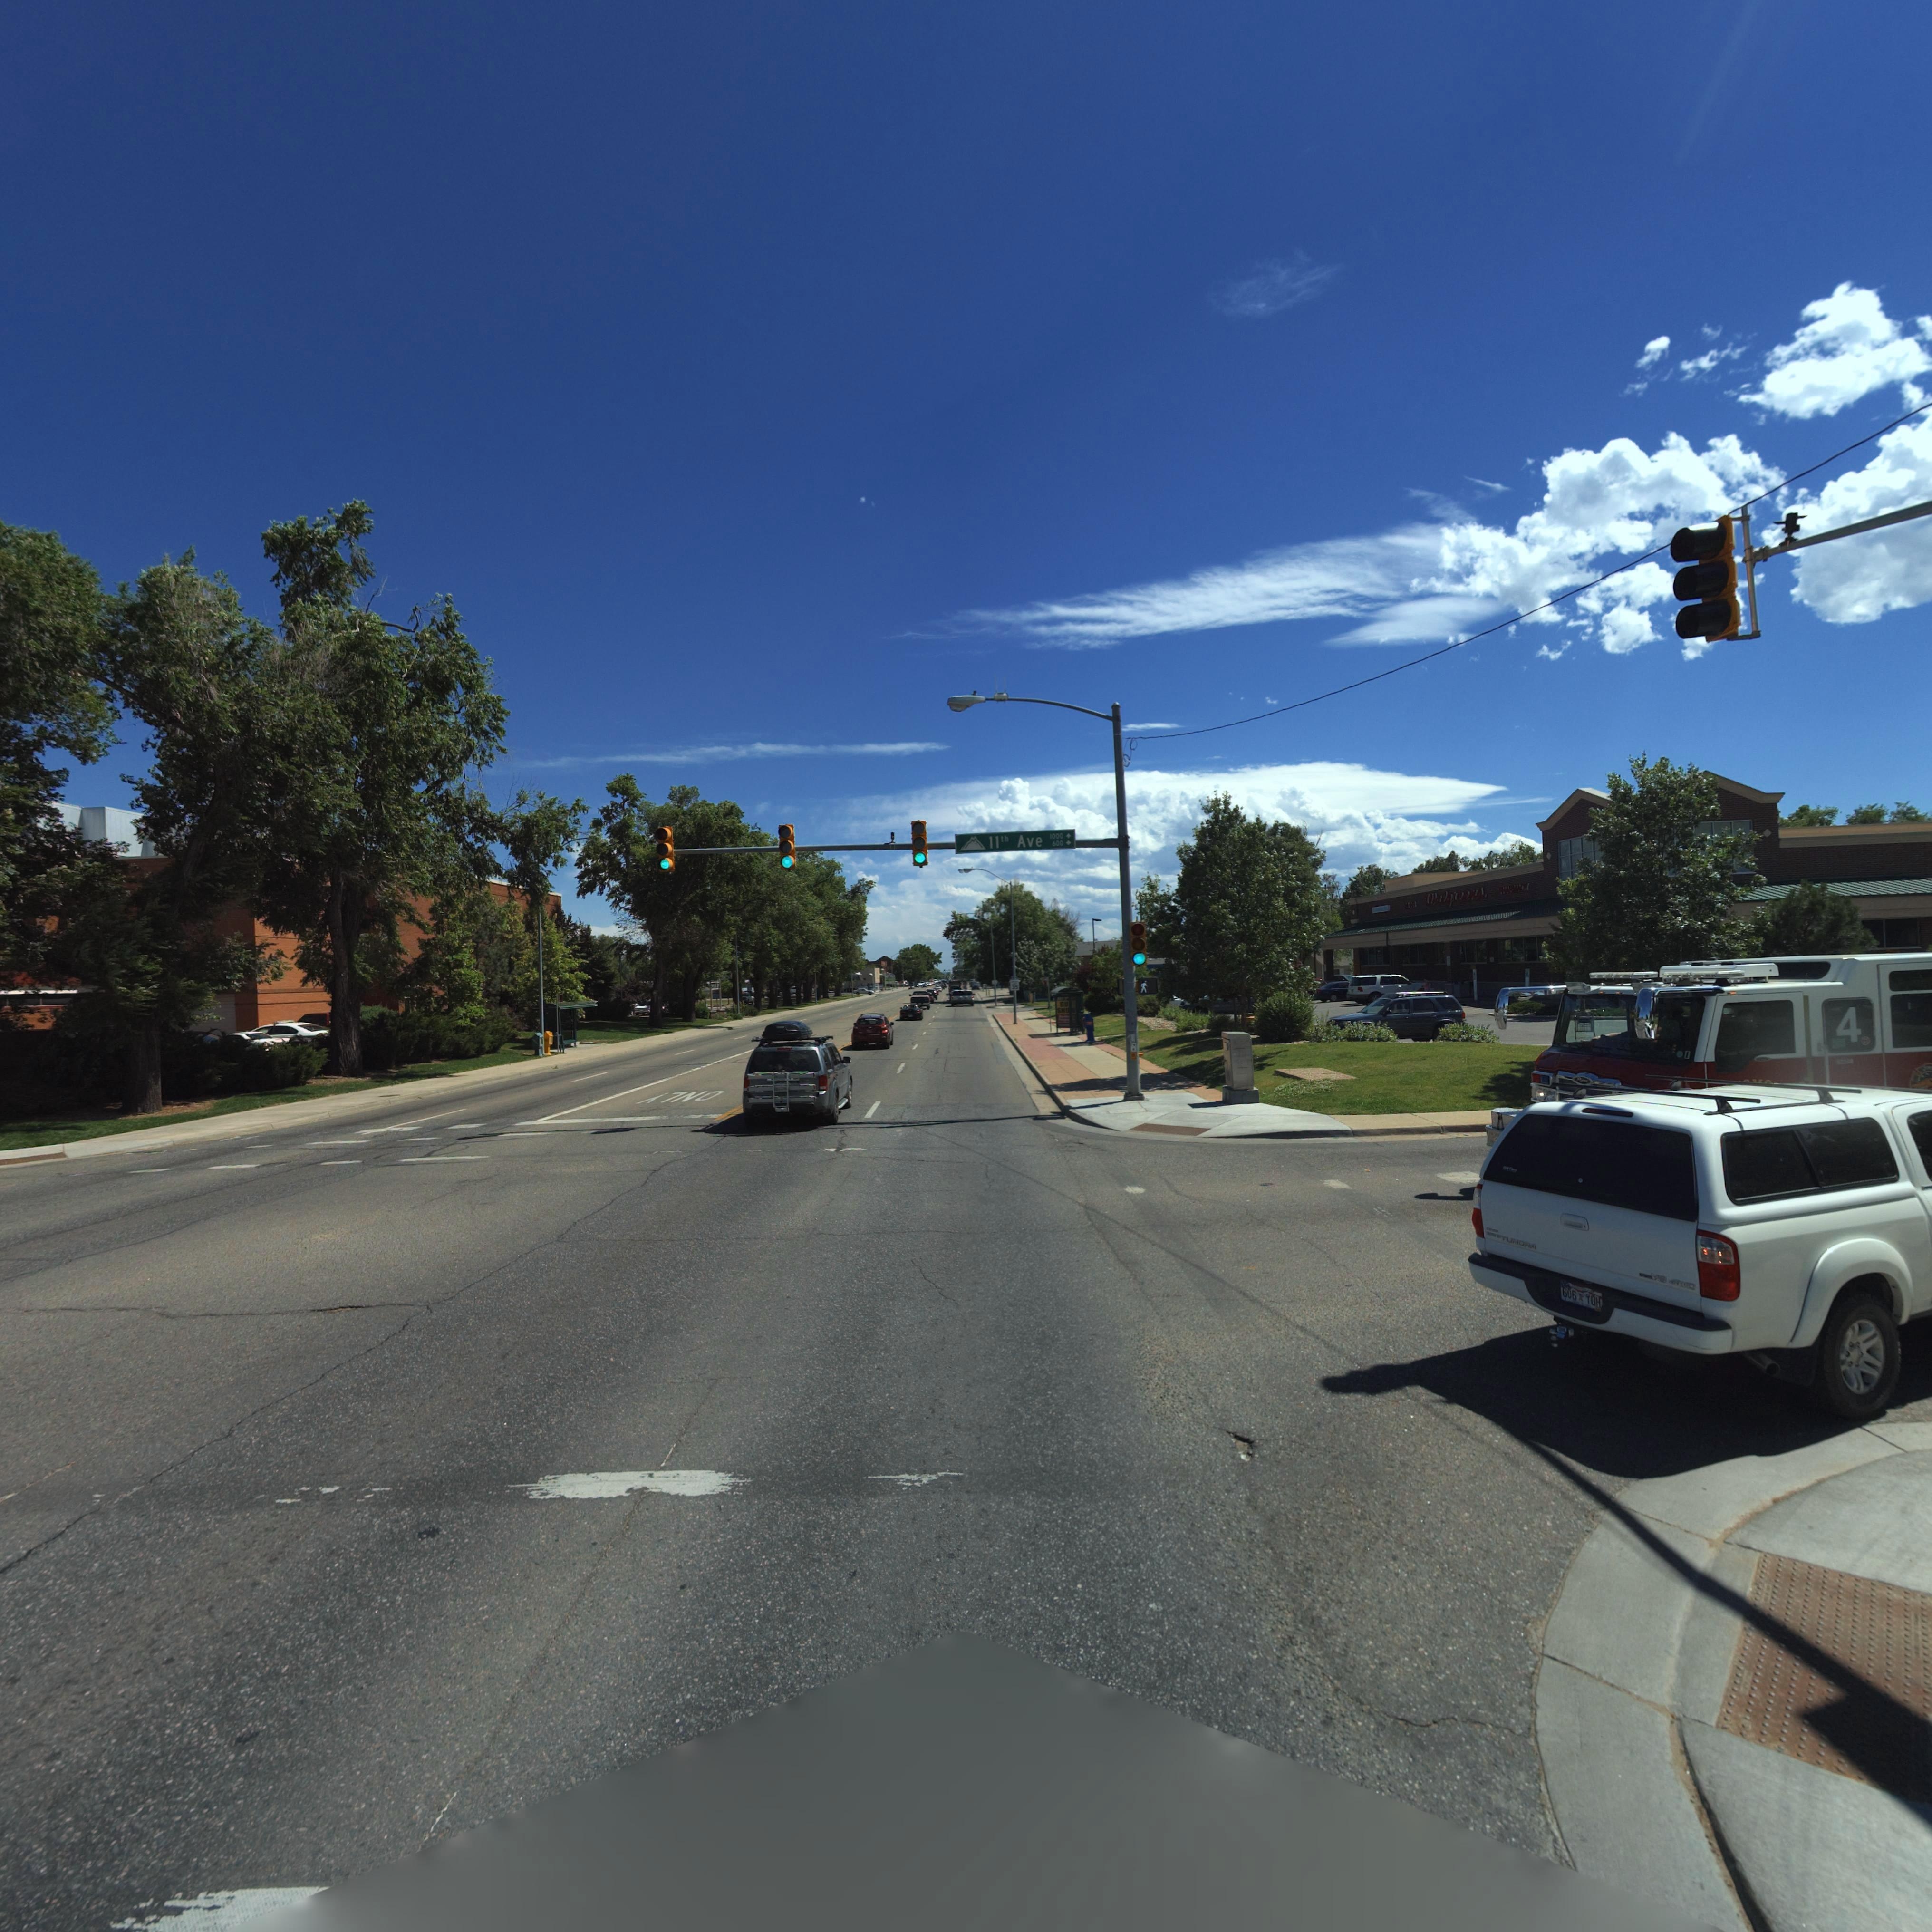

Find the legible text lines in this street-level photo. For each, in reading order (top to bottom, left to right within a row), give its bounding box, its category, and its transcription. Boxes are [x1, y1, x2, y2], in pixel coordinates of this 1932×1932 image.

[989, 834, 1043, 849] StreetName: 11th Ave
[1050, 833, 1063, 839] StreetNumberRange: 1000
[1052, 840, 1071, 846] StreetNumberRange: 600 ->
[1423, 887, 1488, 908] BusinessName: Walgreens